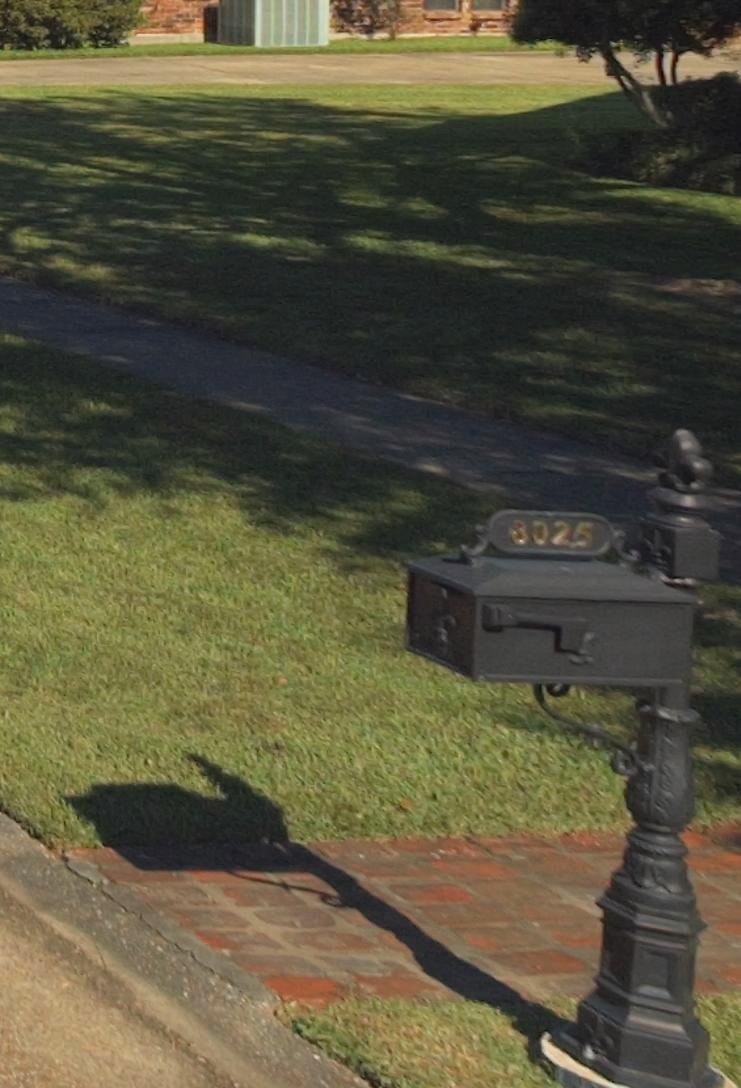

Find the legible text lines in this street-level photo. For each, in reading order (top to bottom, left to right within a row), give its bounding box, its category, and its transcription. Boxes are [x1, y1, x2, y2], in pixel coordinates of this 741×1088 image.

[510, 518, 595, 549] StreetNumber: 8025